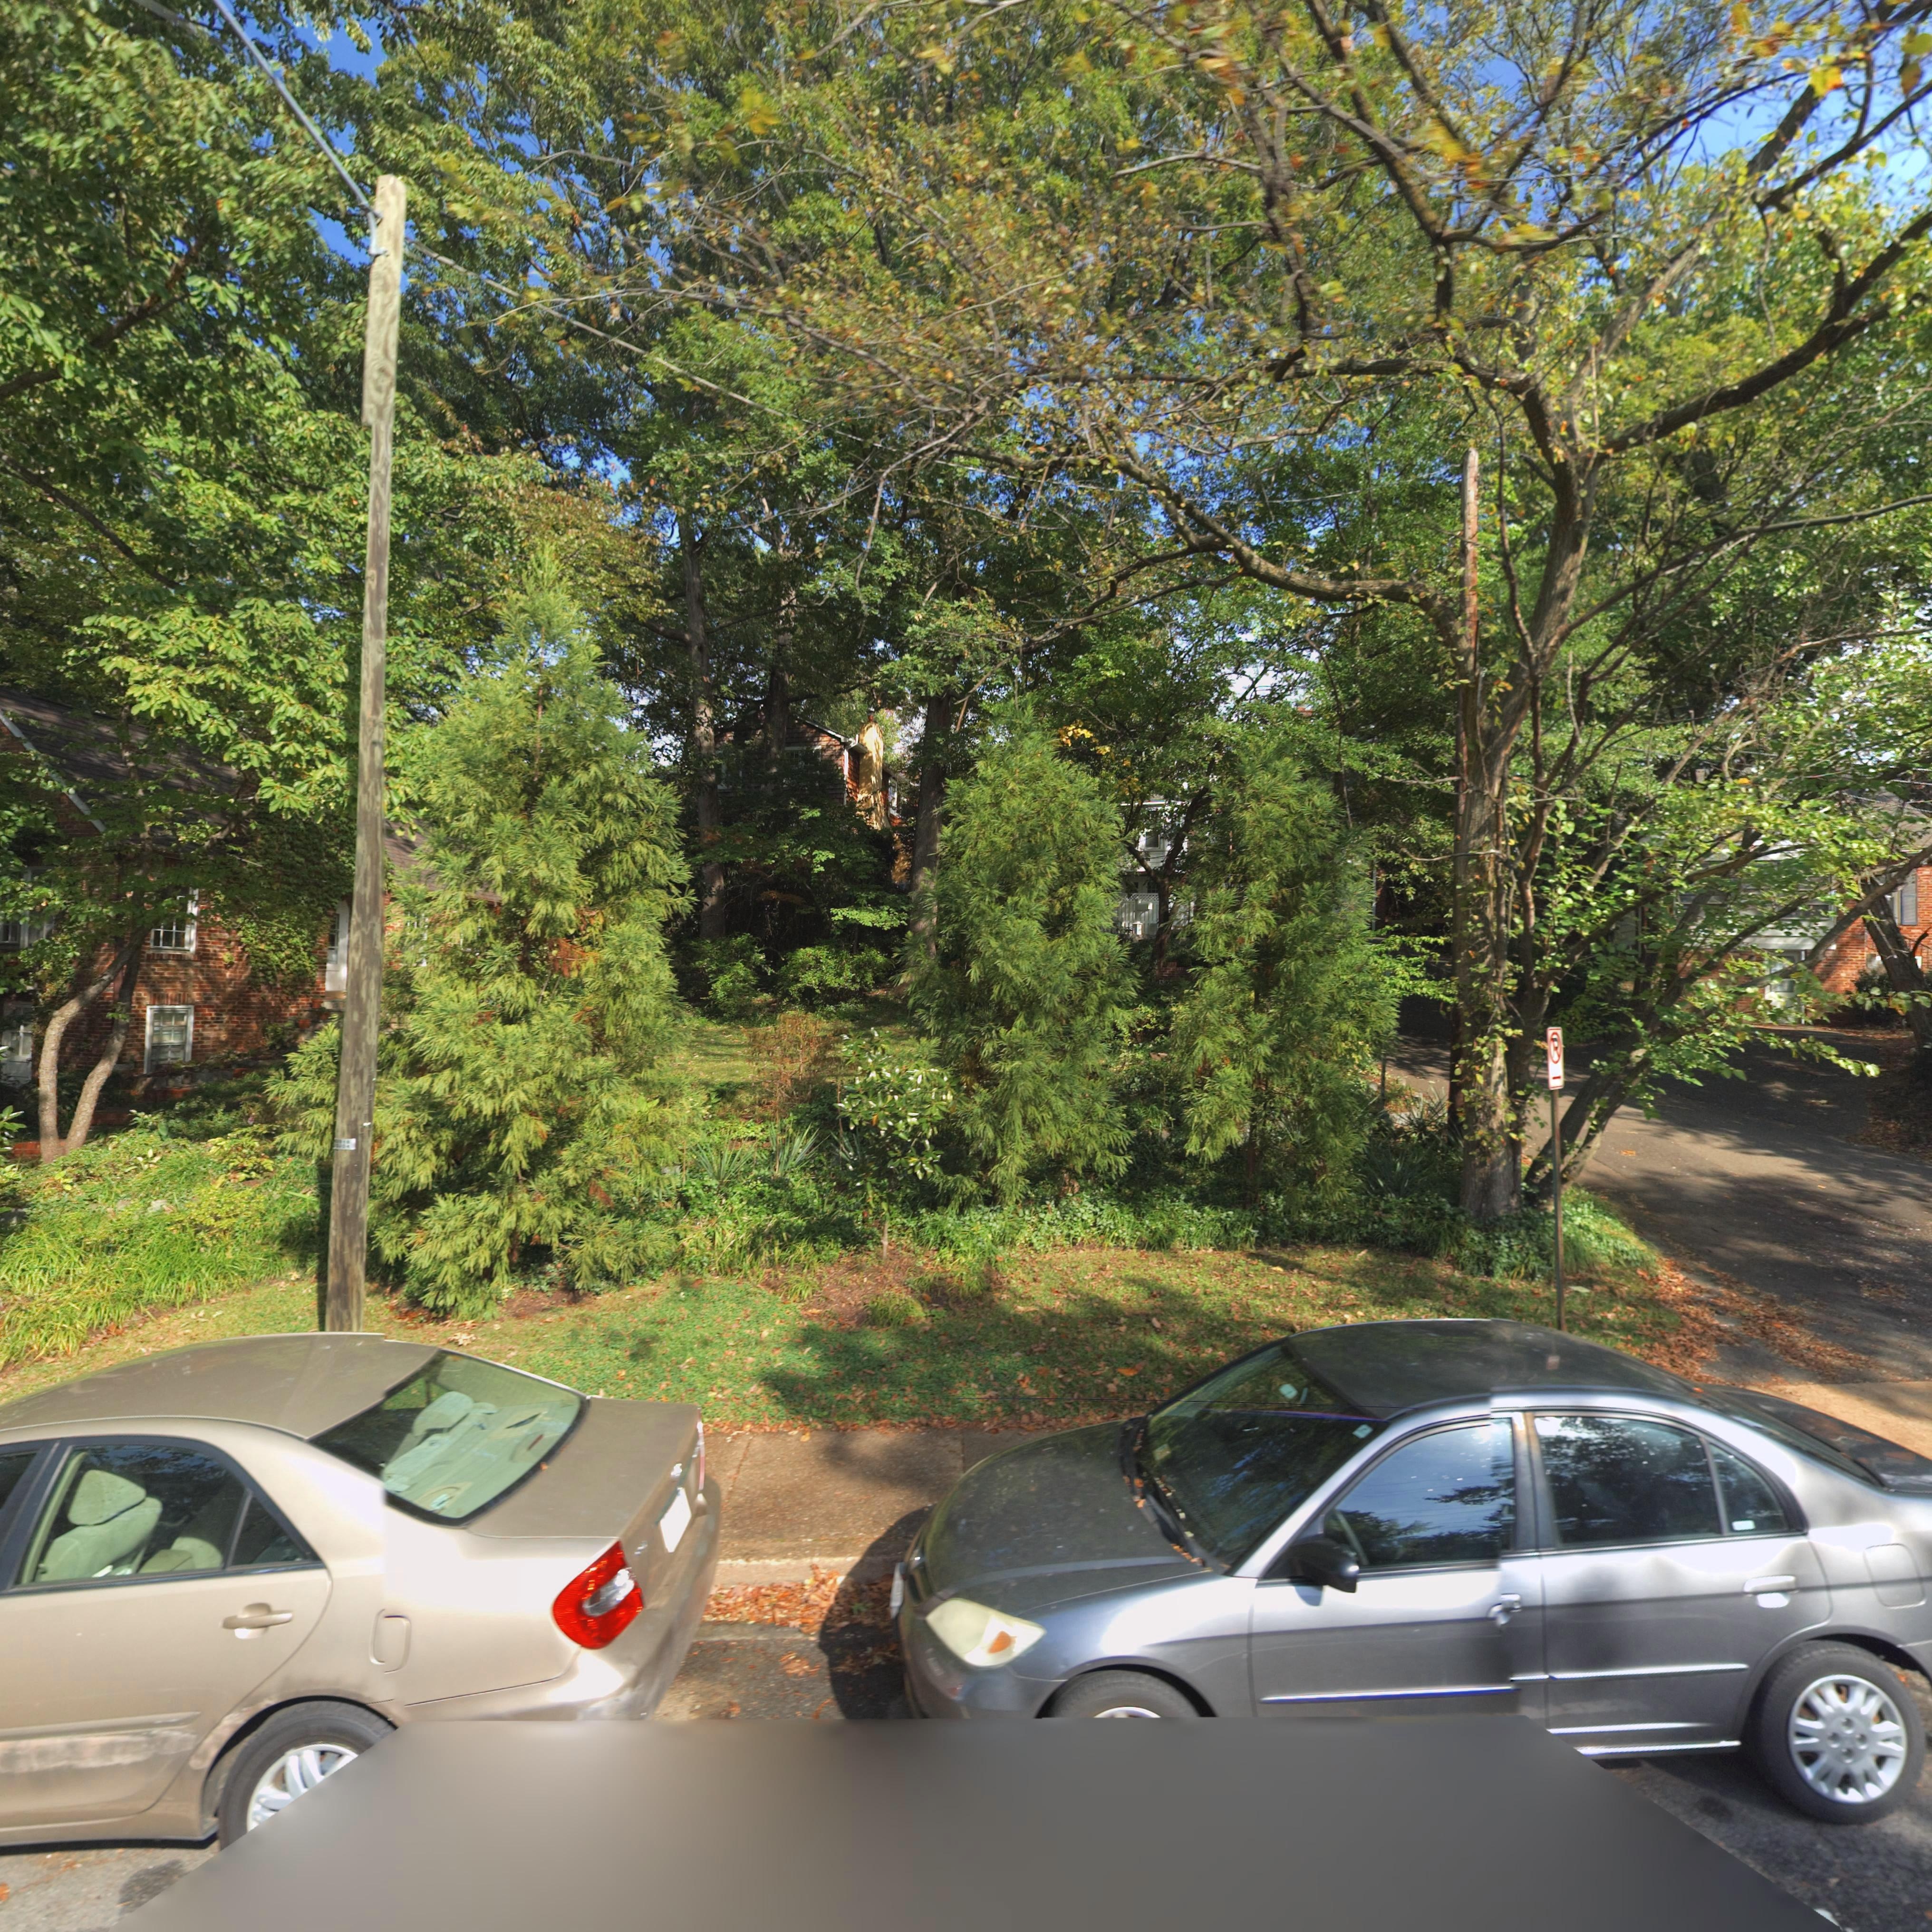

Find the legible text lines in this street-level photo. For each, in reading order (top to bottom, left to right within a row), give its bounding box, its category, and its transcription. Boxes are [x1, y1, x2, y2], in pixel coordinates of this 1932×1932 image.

[341, 1144, 350, 1148] None: 04